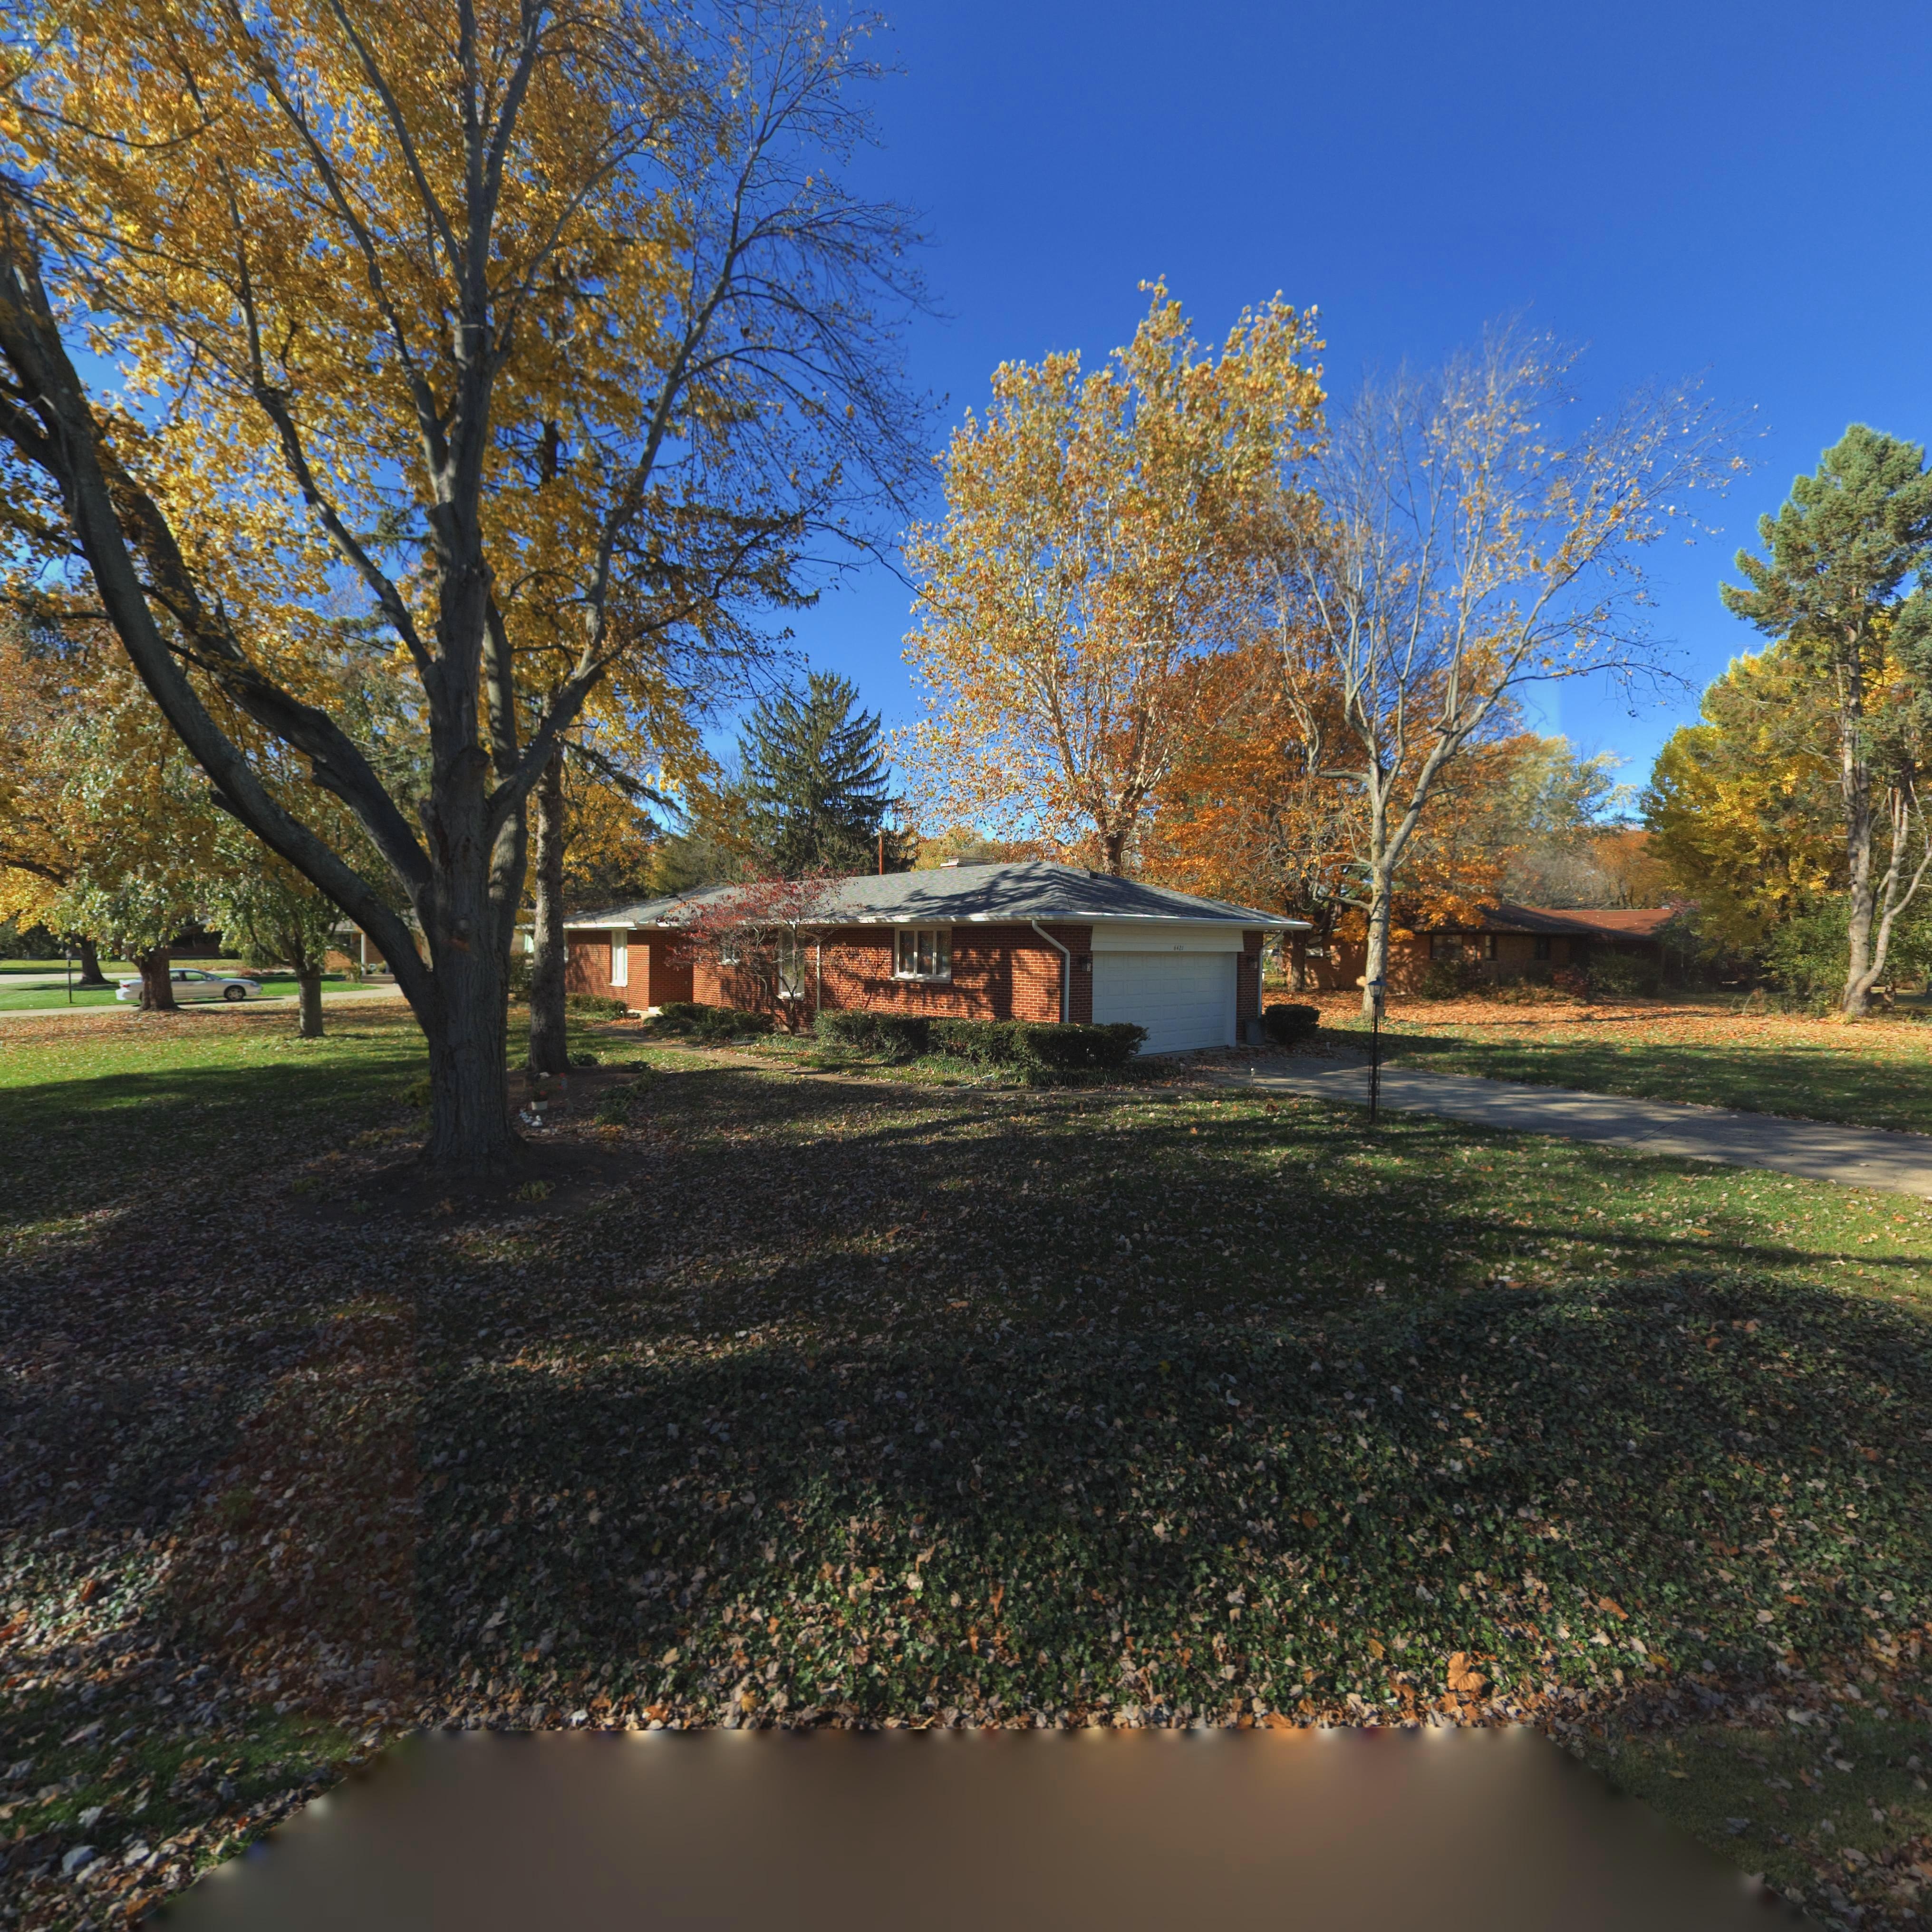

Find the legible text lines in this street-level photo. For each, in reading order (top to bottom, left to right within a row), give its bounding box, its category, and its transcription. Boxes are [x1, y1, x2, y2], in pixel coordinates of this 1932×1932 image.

[1173, 945, 1184, 951] StreetNumber: 6421